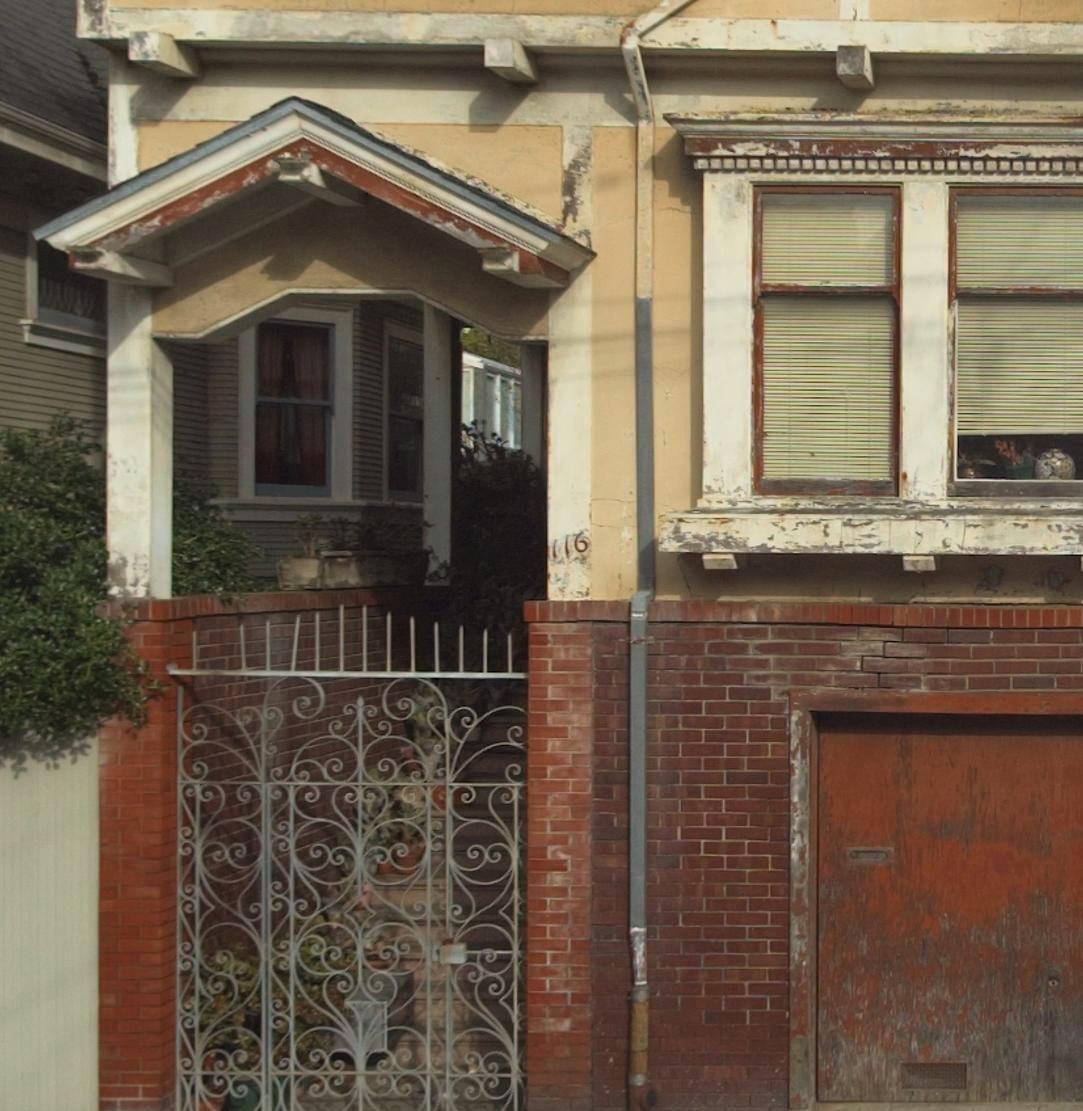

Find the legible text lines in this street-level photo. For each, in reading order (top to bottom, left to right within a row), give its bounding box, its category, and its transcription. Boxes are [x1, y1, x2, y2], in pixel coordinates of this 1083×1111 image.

[550, 528, 590, 561] StreetNumber: 116